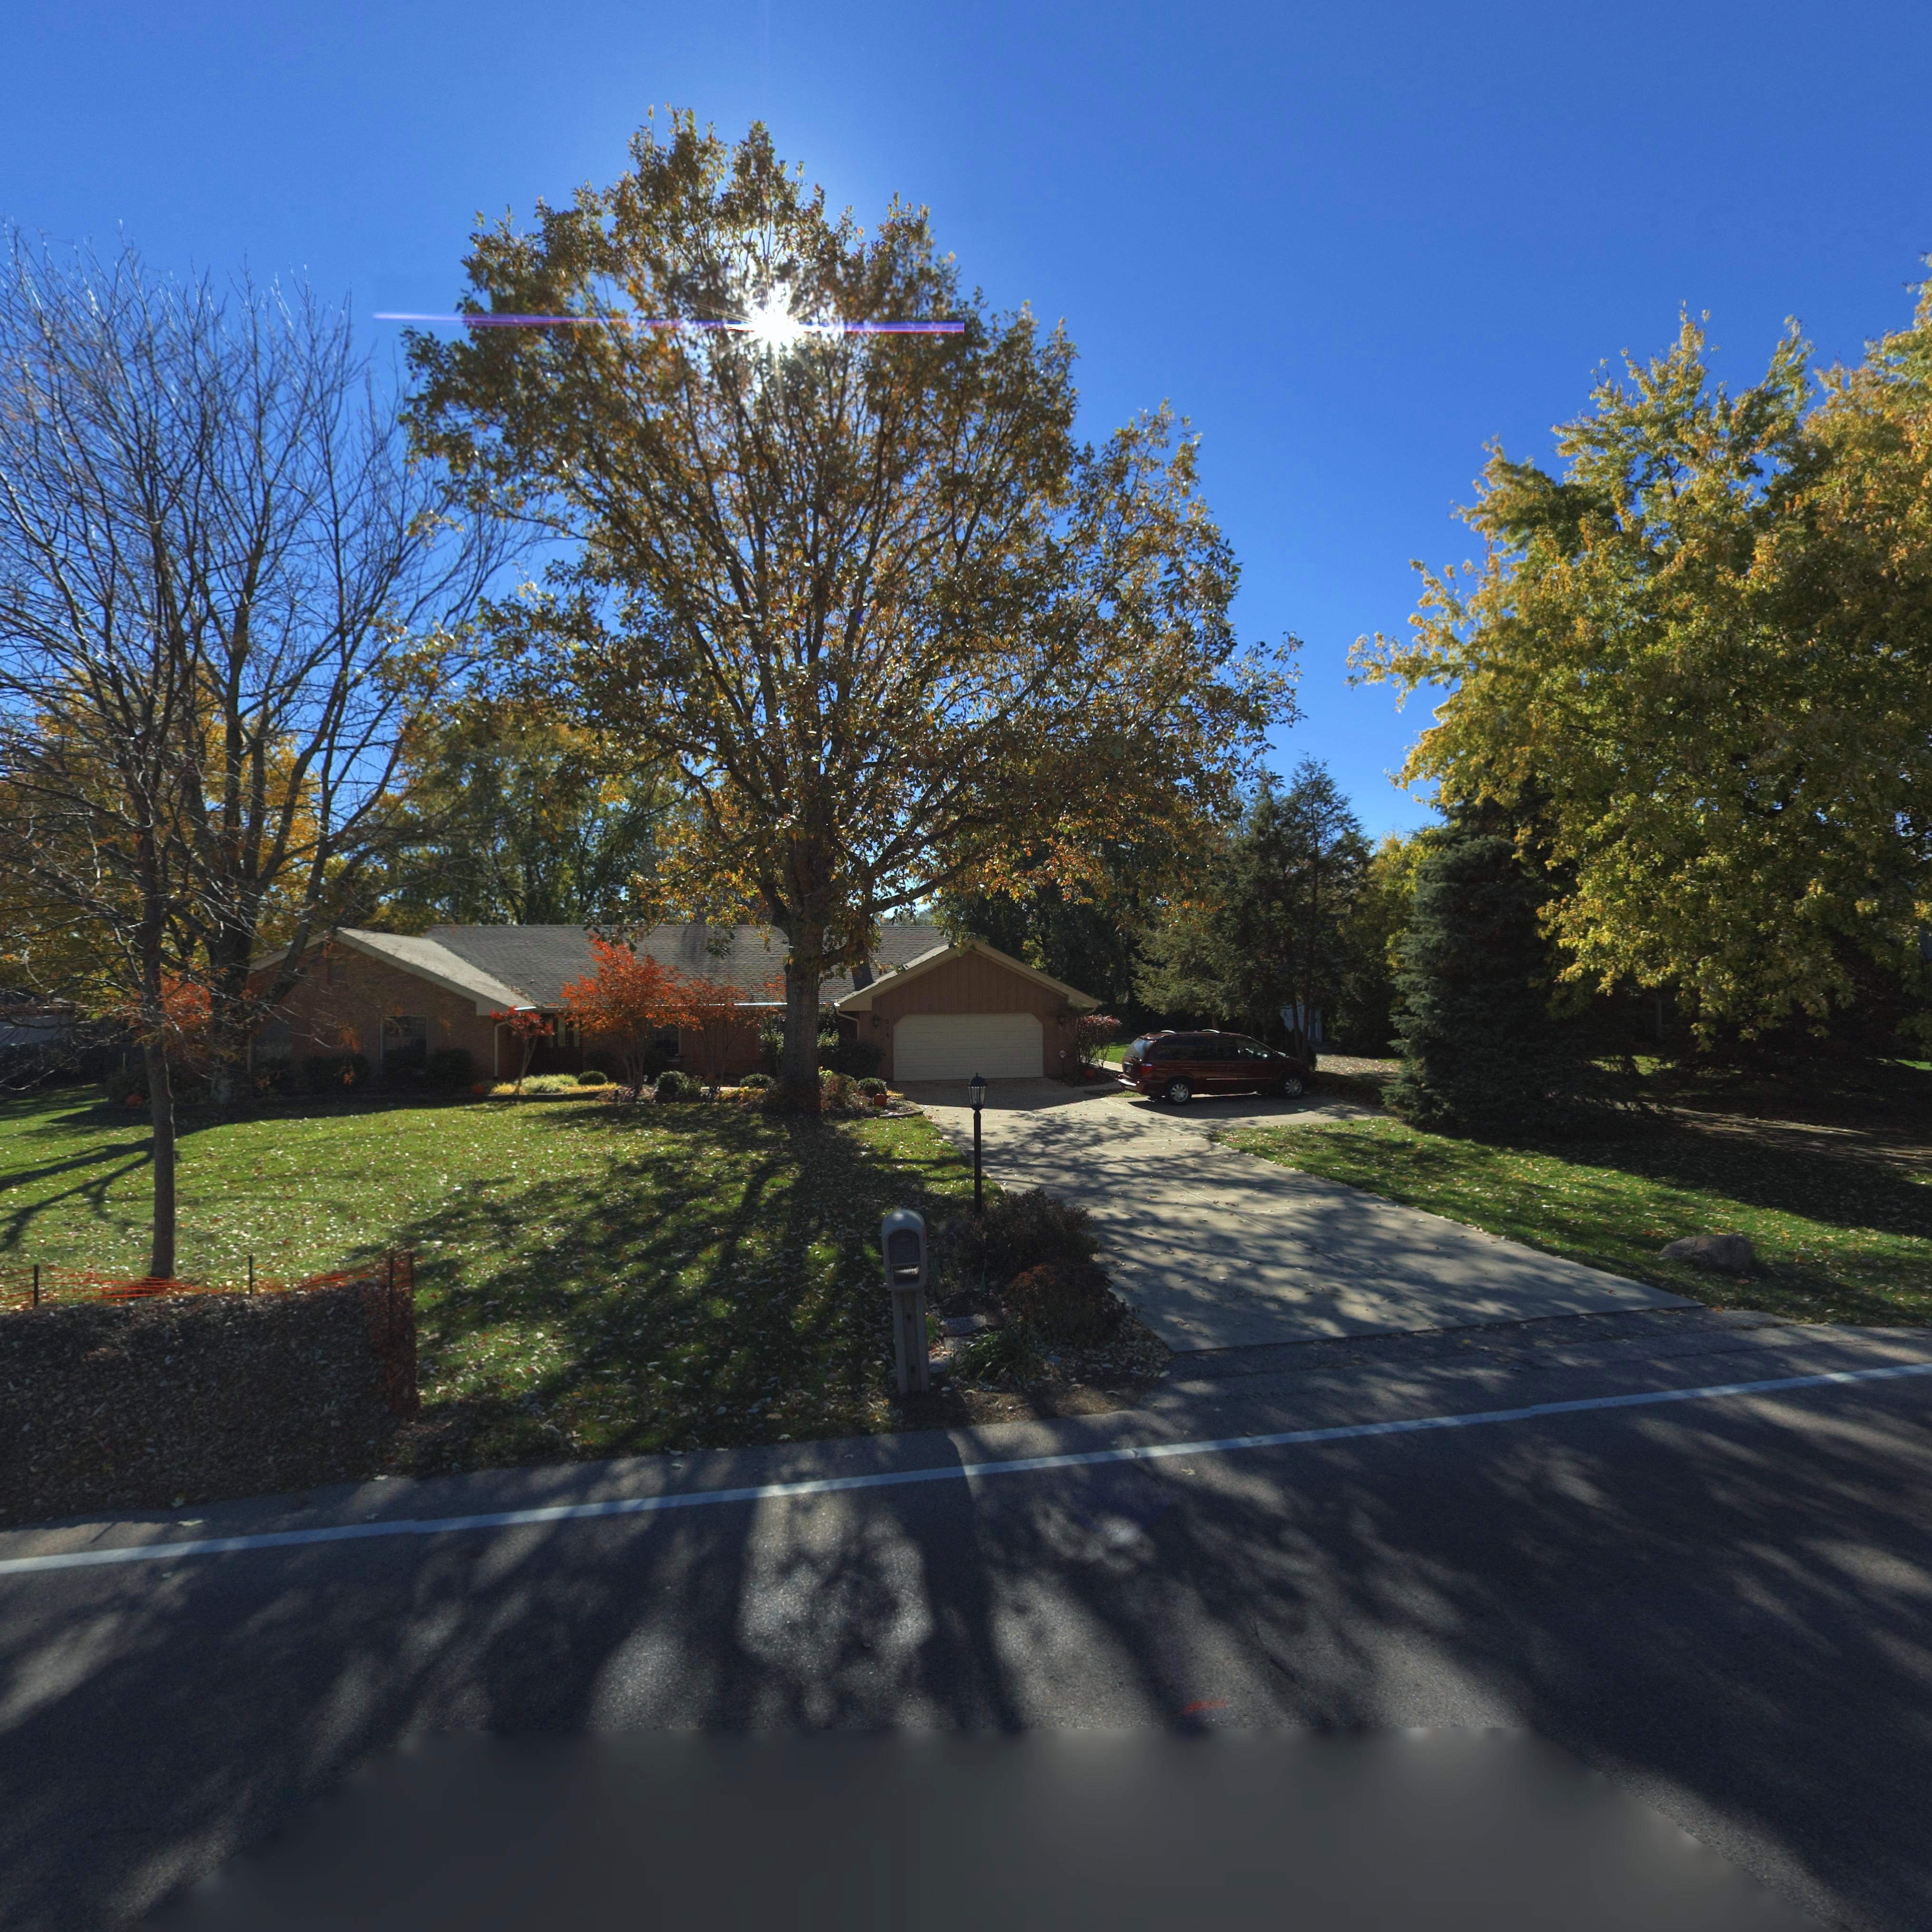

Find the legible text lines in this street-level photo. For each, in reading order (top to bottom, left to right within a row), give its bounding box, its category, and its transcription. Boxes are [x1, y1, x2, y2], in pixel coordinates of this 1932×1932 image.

[885, 1018, 890, 1038] StreetNumber: 574